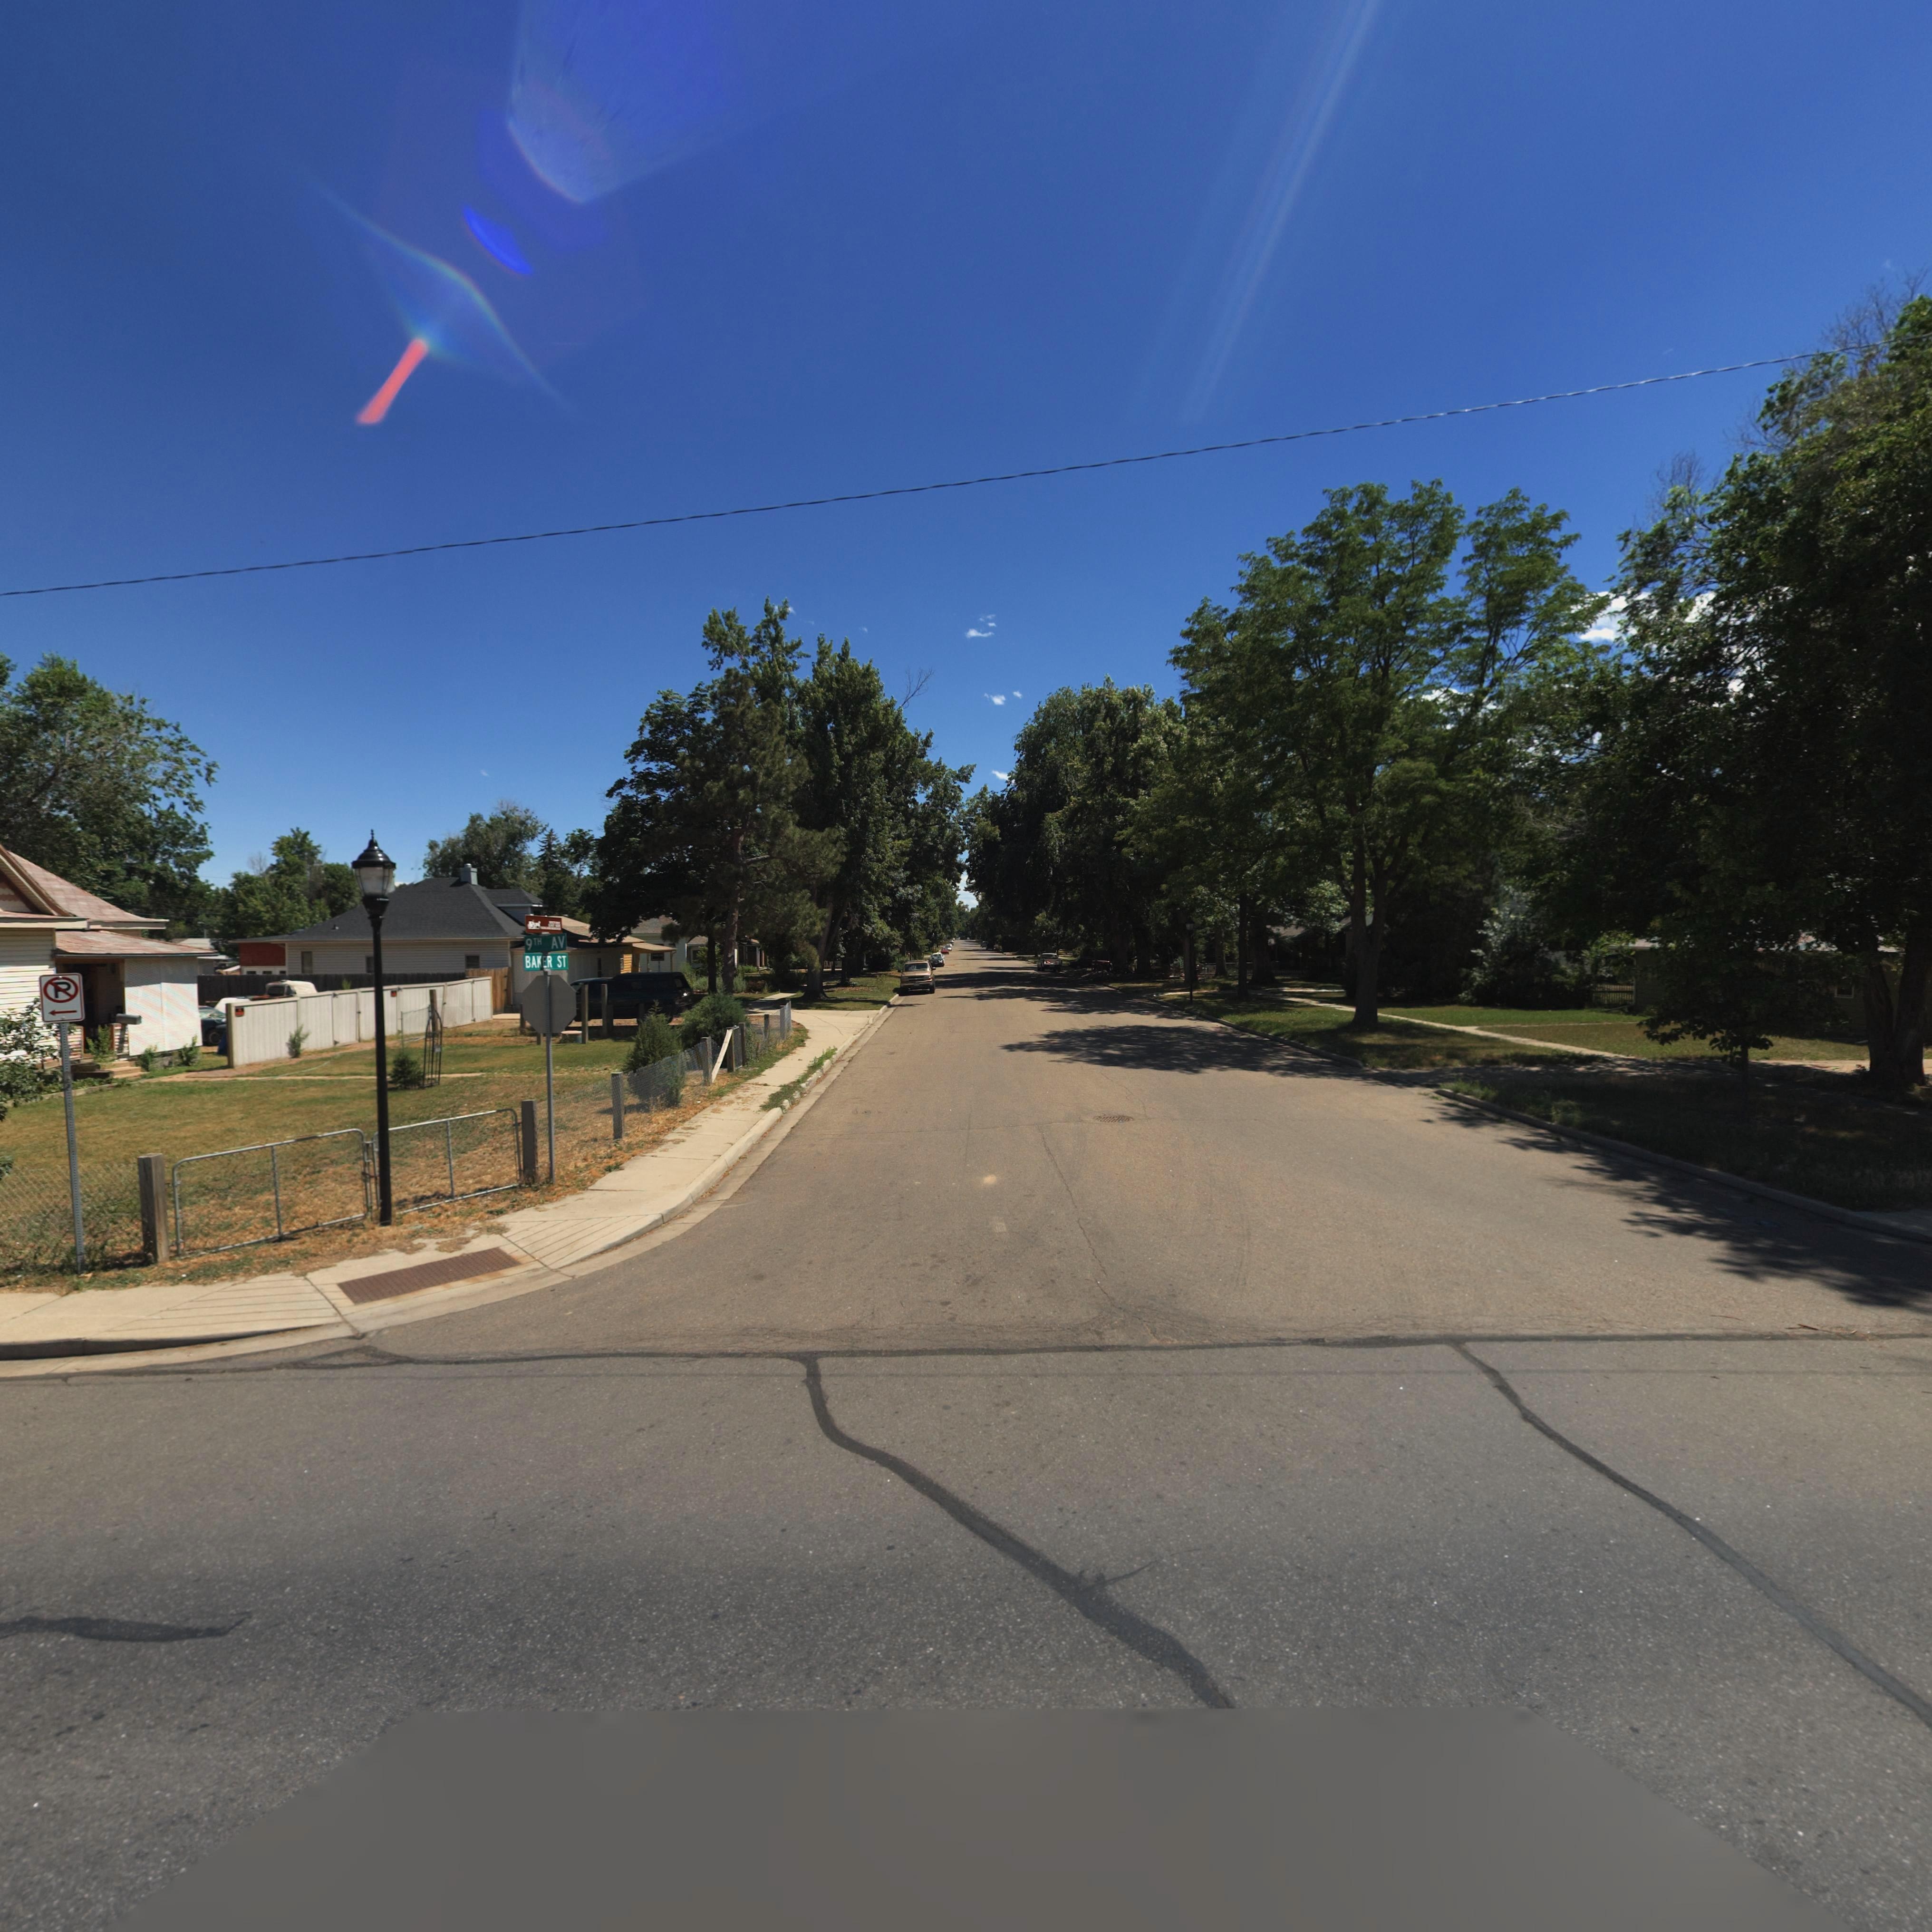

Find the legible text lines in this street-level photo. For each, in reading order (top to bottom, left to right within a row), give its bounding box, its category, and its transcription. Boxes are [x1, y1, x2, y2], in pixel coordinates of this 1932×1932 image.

[525, 935, 565, 950] StreetName: 9TH AV
[525, 955, 566, 968] StreetName: BAKER ST